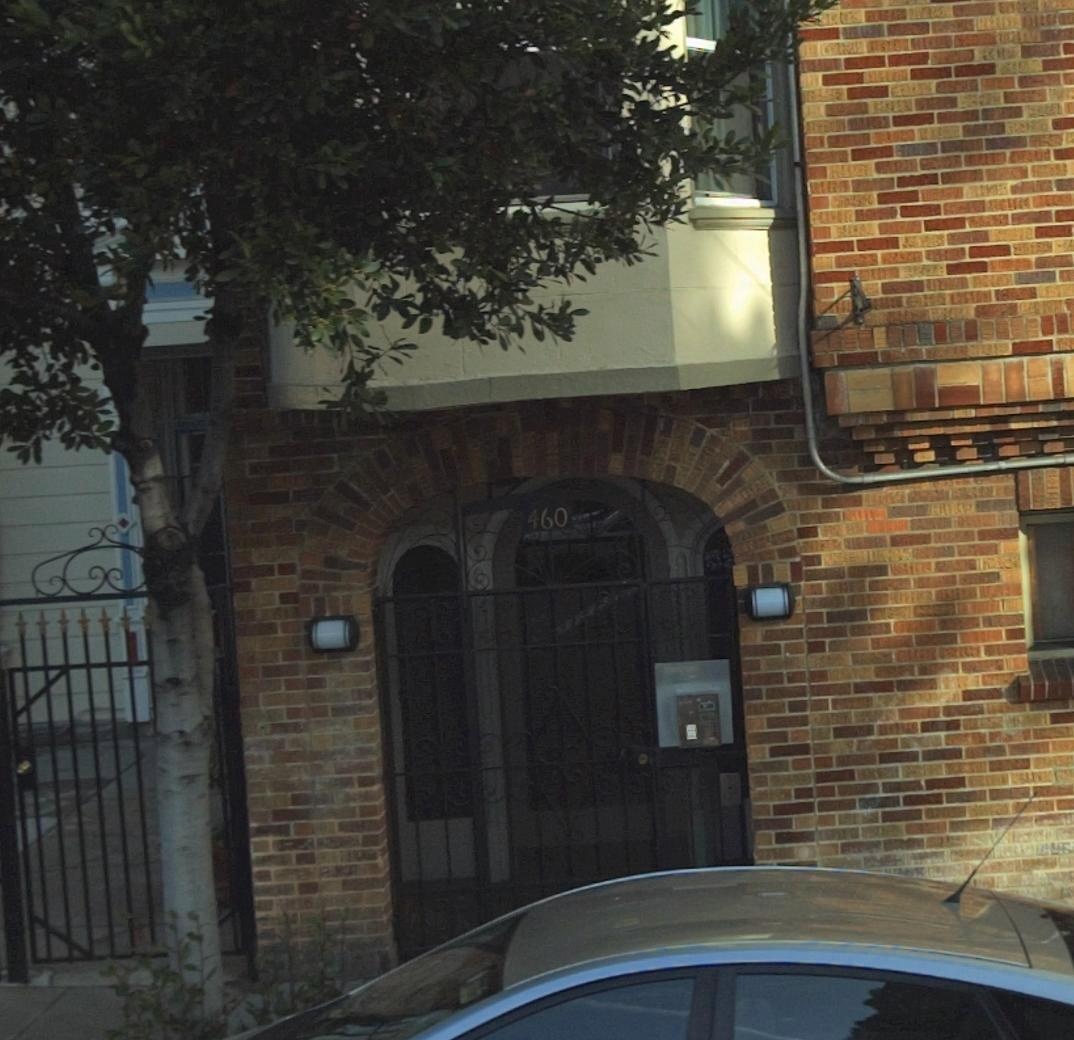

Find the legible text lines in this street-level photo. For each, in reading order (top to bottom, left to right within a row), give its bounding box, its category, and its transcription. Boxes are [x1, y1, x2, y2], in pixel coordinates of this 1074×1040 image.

[524, 502, 571, 533] StreetNumber: 460